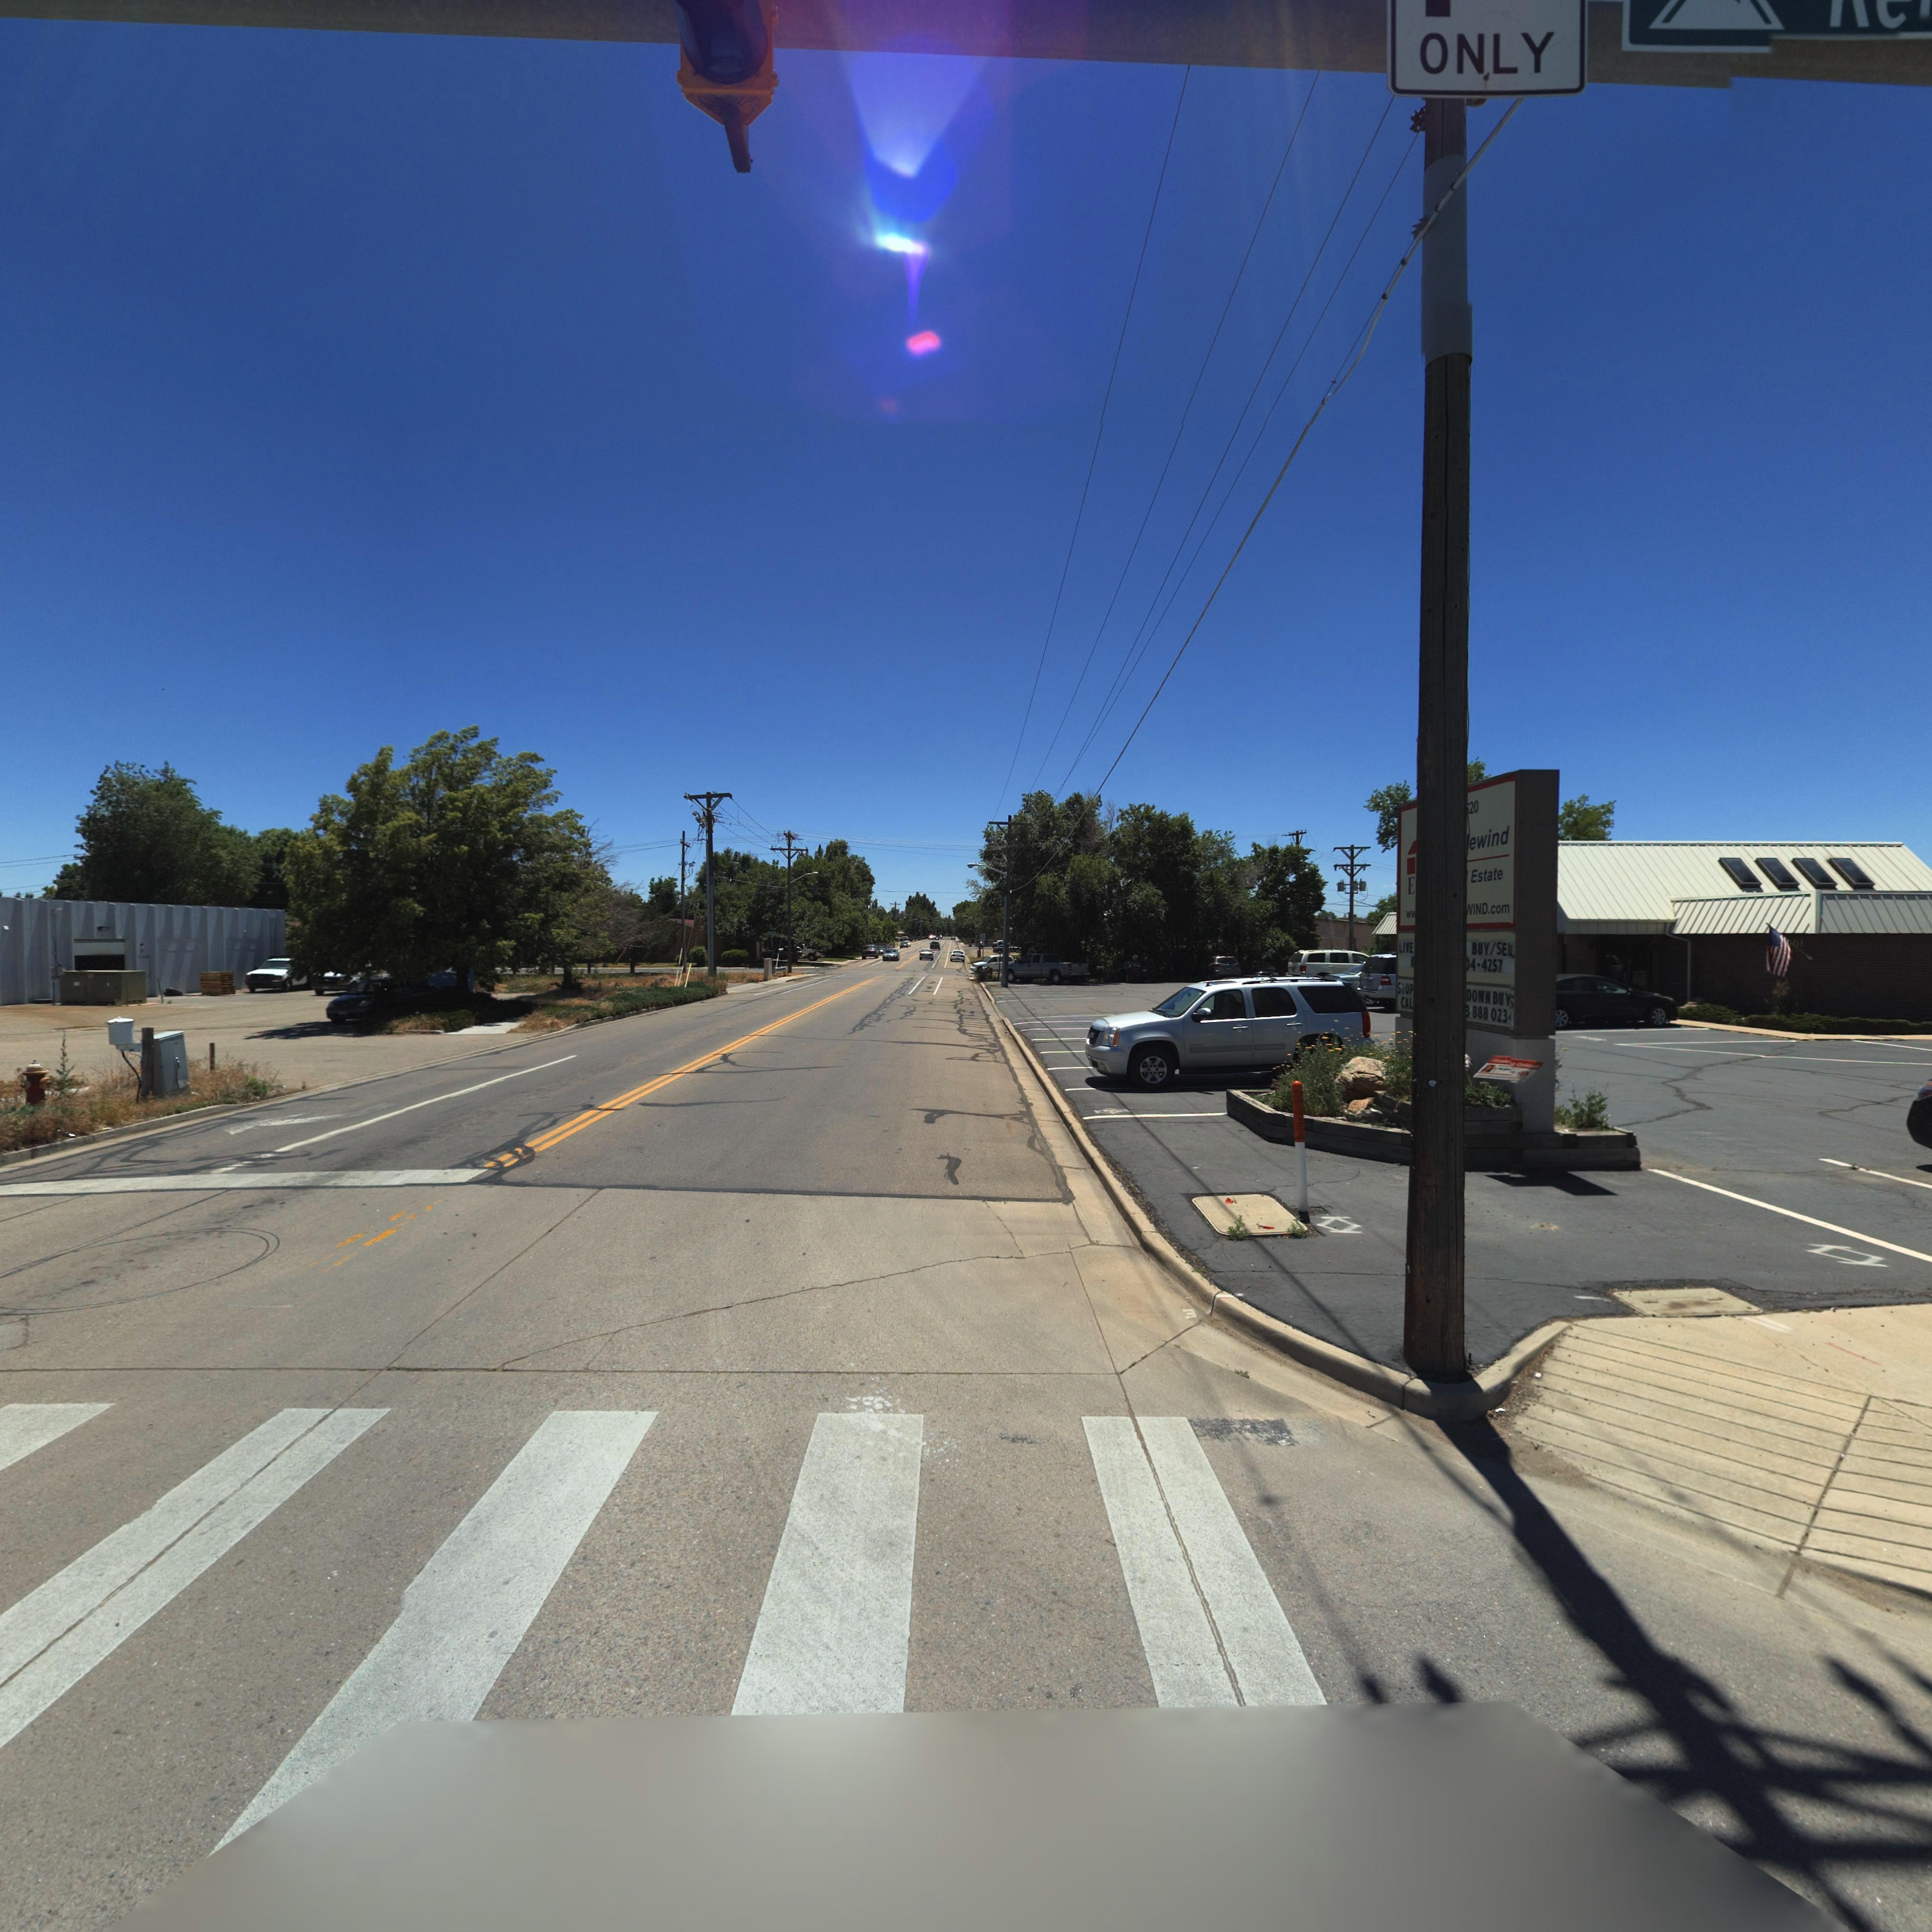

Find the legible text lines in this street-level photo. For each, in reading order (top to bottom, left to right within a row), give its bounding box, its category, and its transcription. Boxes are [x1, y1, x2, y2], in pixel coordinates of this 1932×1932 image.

[1468, 824, 1510, 850] BusinessName: ewind
[1470, 867, 1504, 883] BusinessName: Estate
[1407, 876, 1415, 895] BusinessName: E
[1792, 939, 1804, 948] StreetNumber: 01